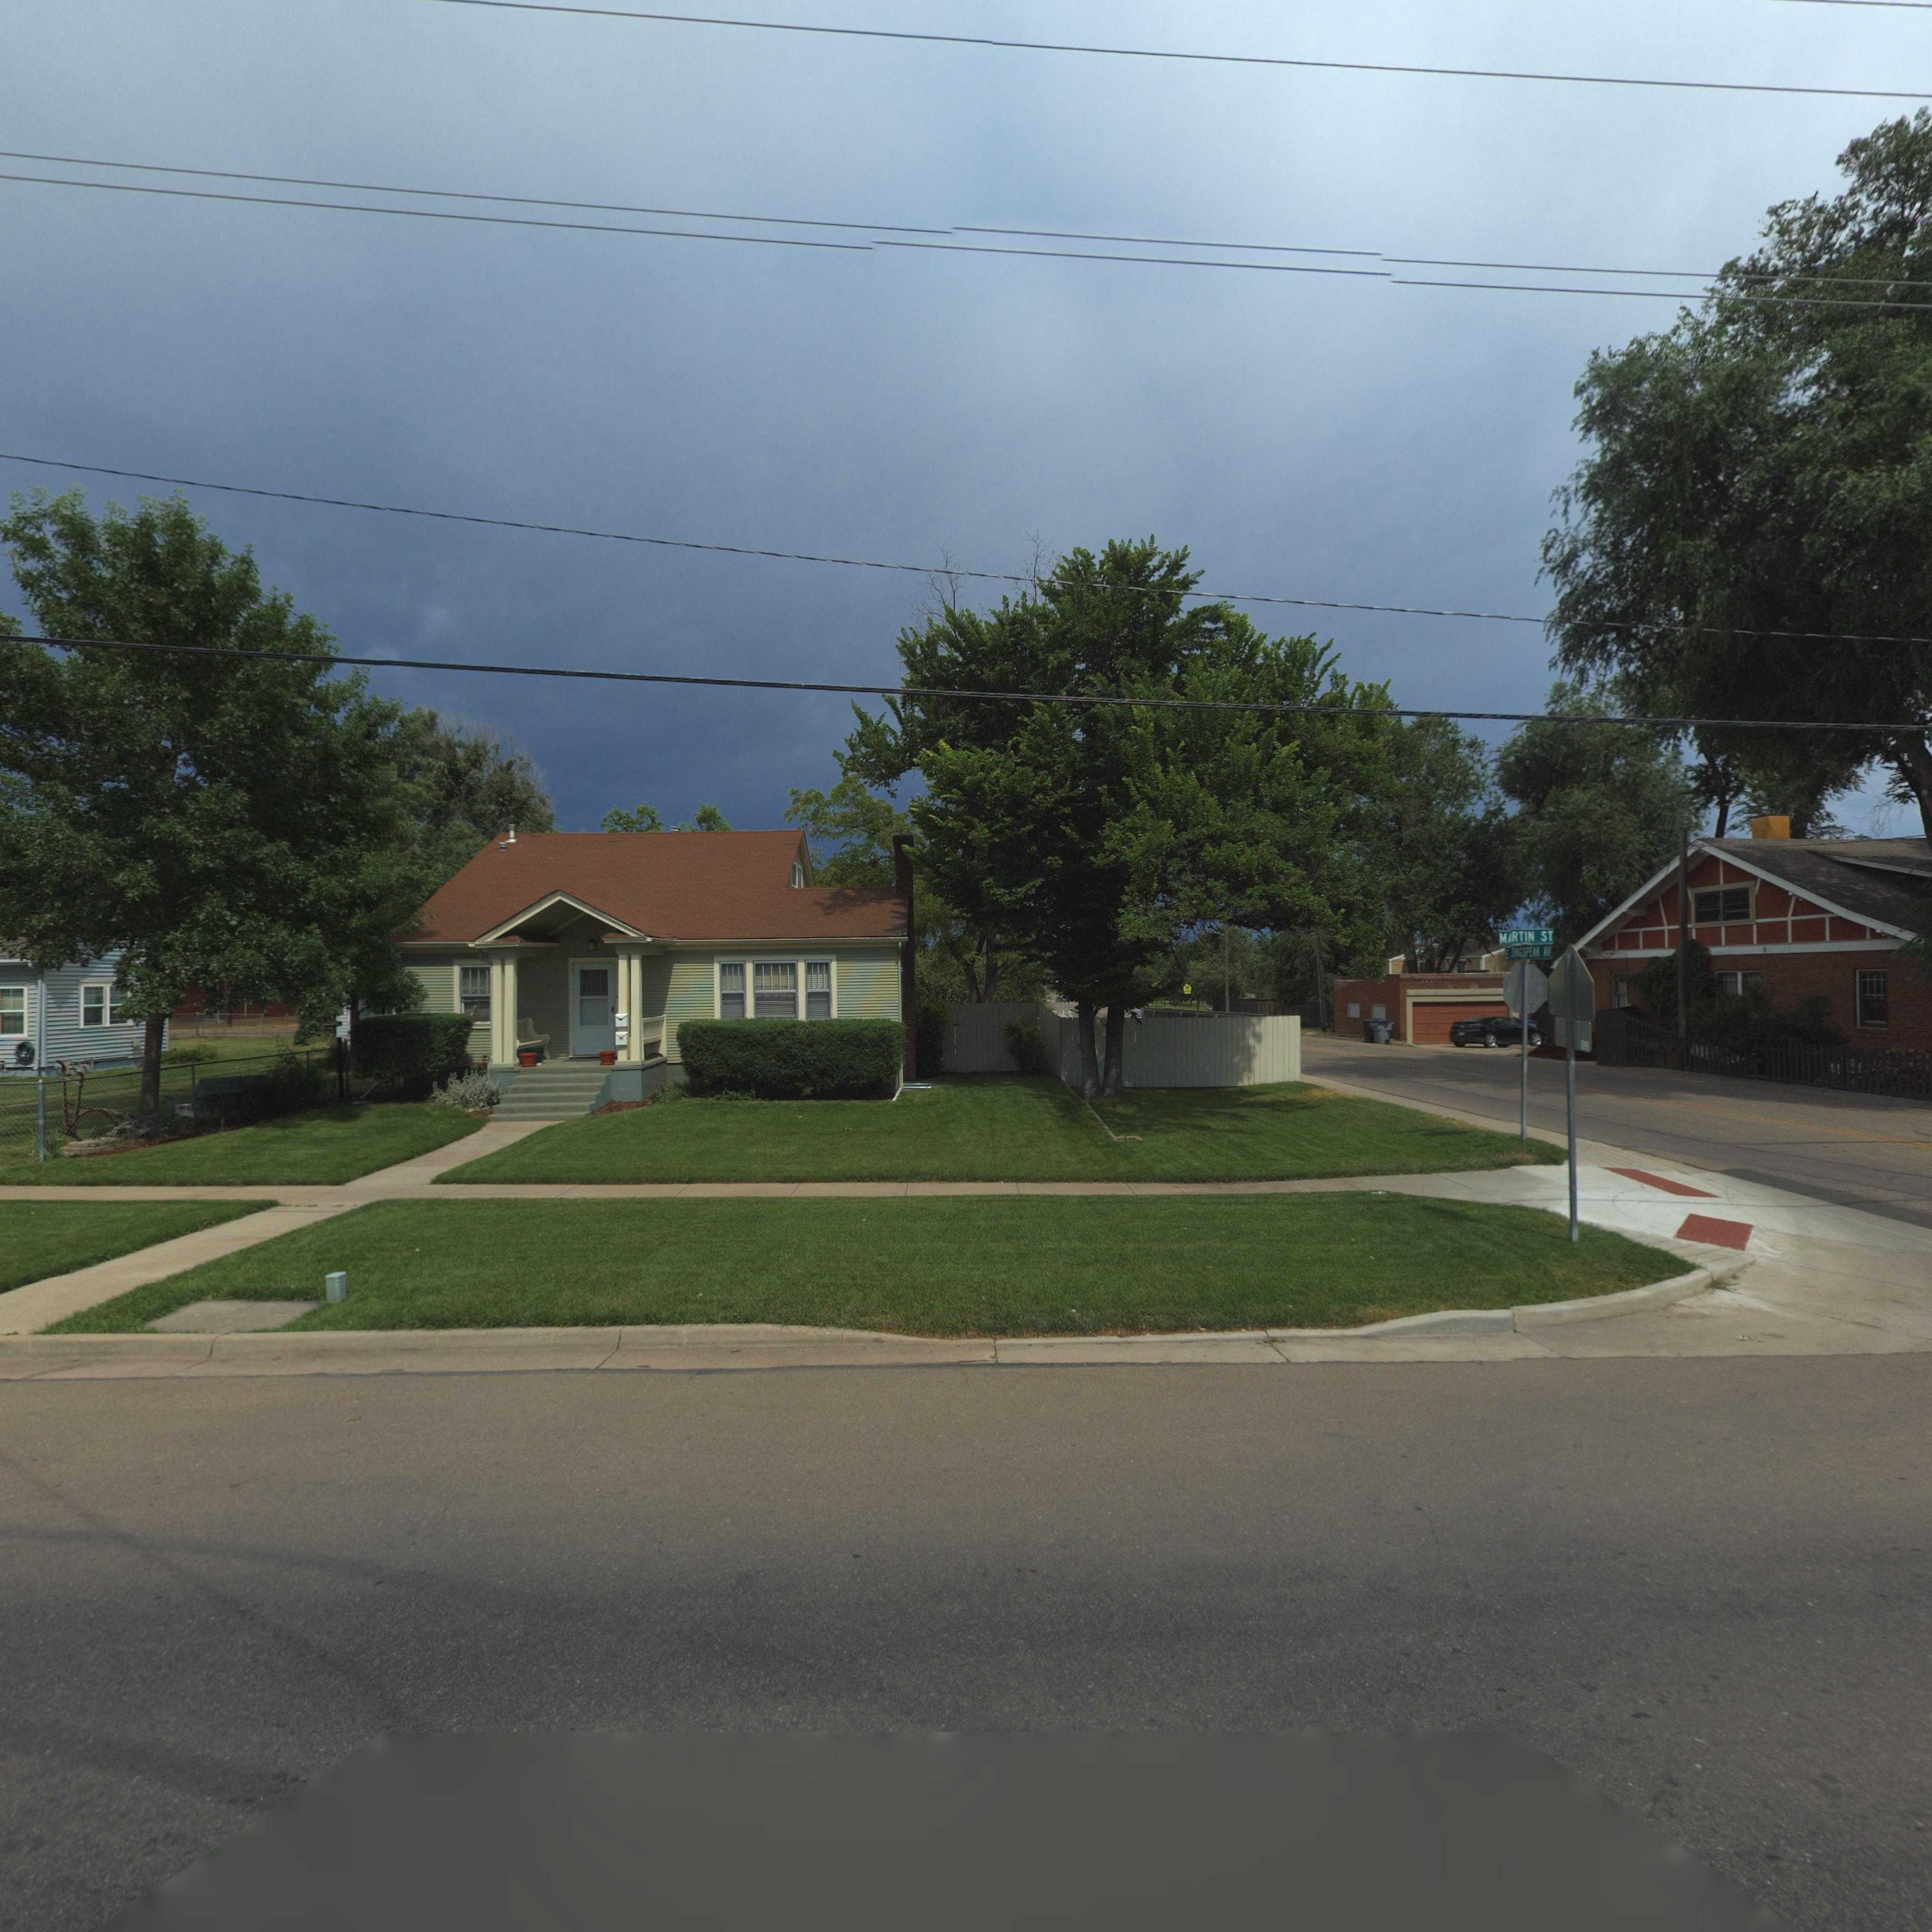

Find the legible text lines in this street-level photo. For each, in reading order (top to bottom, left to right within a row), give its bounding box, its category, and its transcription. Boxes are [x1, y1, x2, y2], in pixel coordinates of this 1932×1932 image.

[1499, 929, 1554, 944] StreetName: M*RTIN ST
[1504, 945, 1552, 959] StreetName: E *ONGSPEAK AV